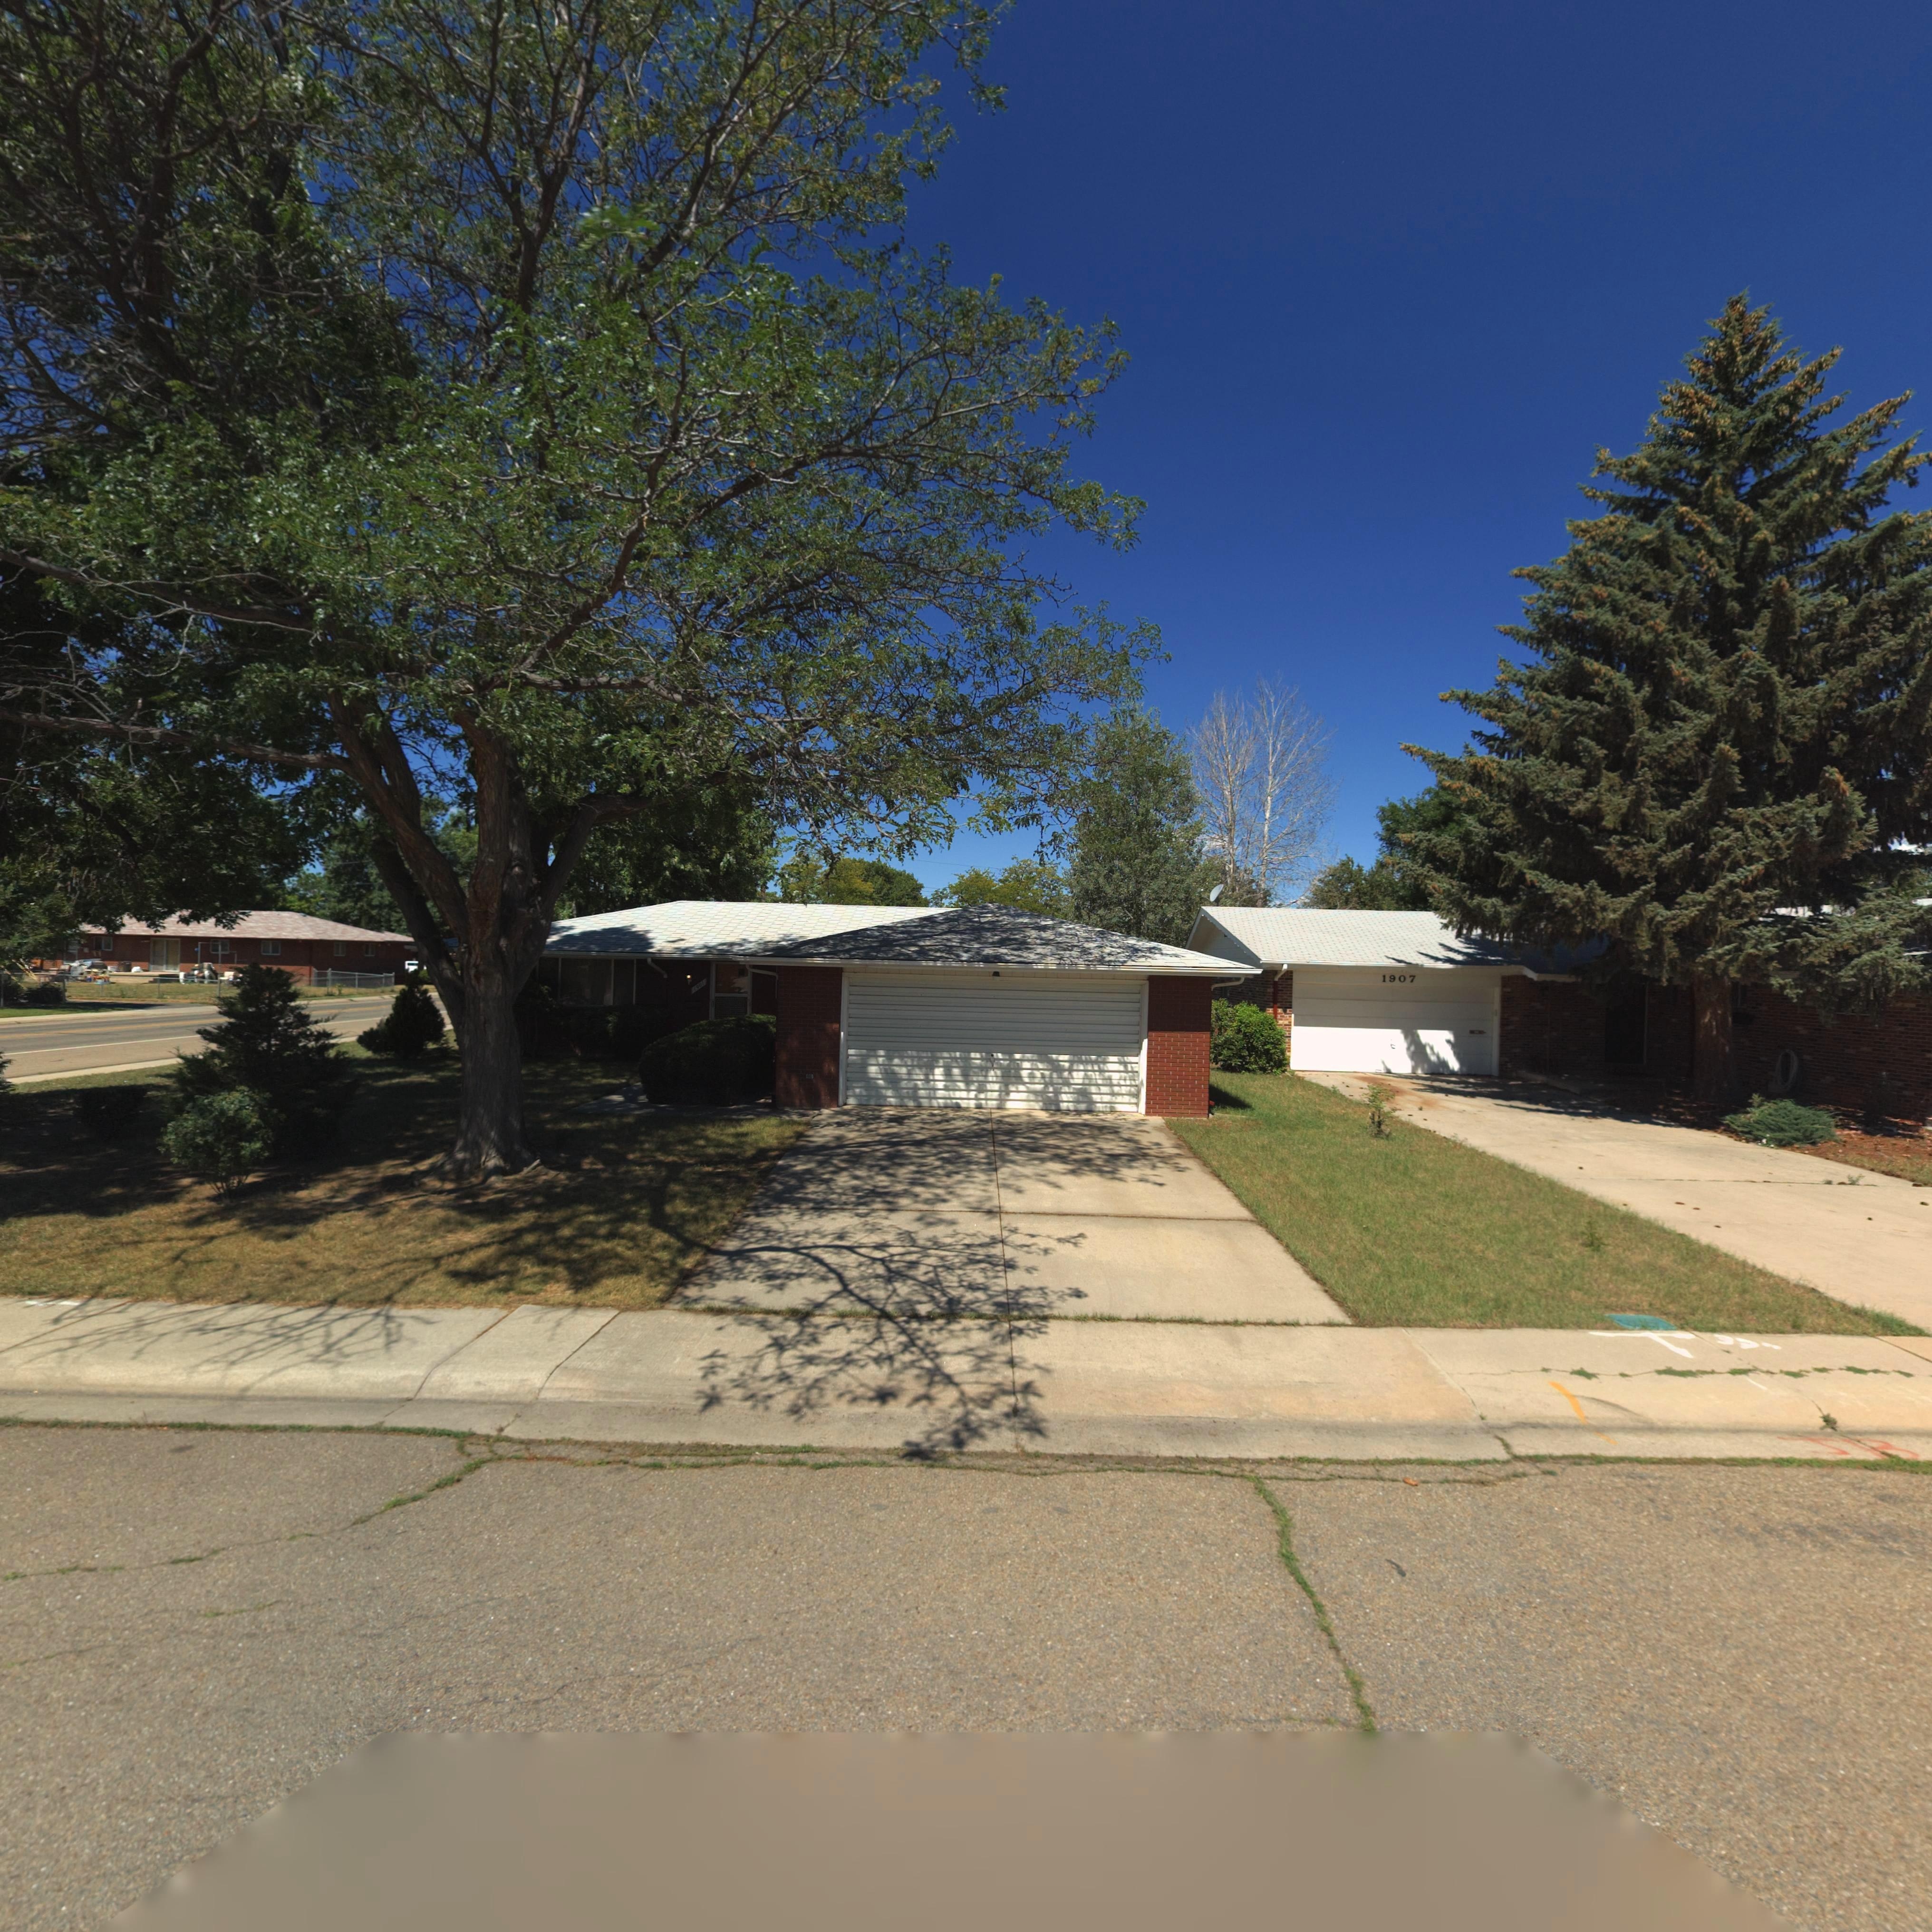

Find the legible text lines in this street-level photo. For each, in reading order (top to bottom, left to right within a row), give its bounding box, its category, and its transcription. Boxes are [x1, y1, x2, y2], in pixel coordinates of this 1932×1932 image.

[1381, 974, 1418, 984] StreetNumber: 1907
[694, 980, 704, 992] StreetNumber: 1901